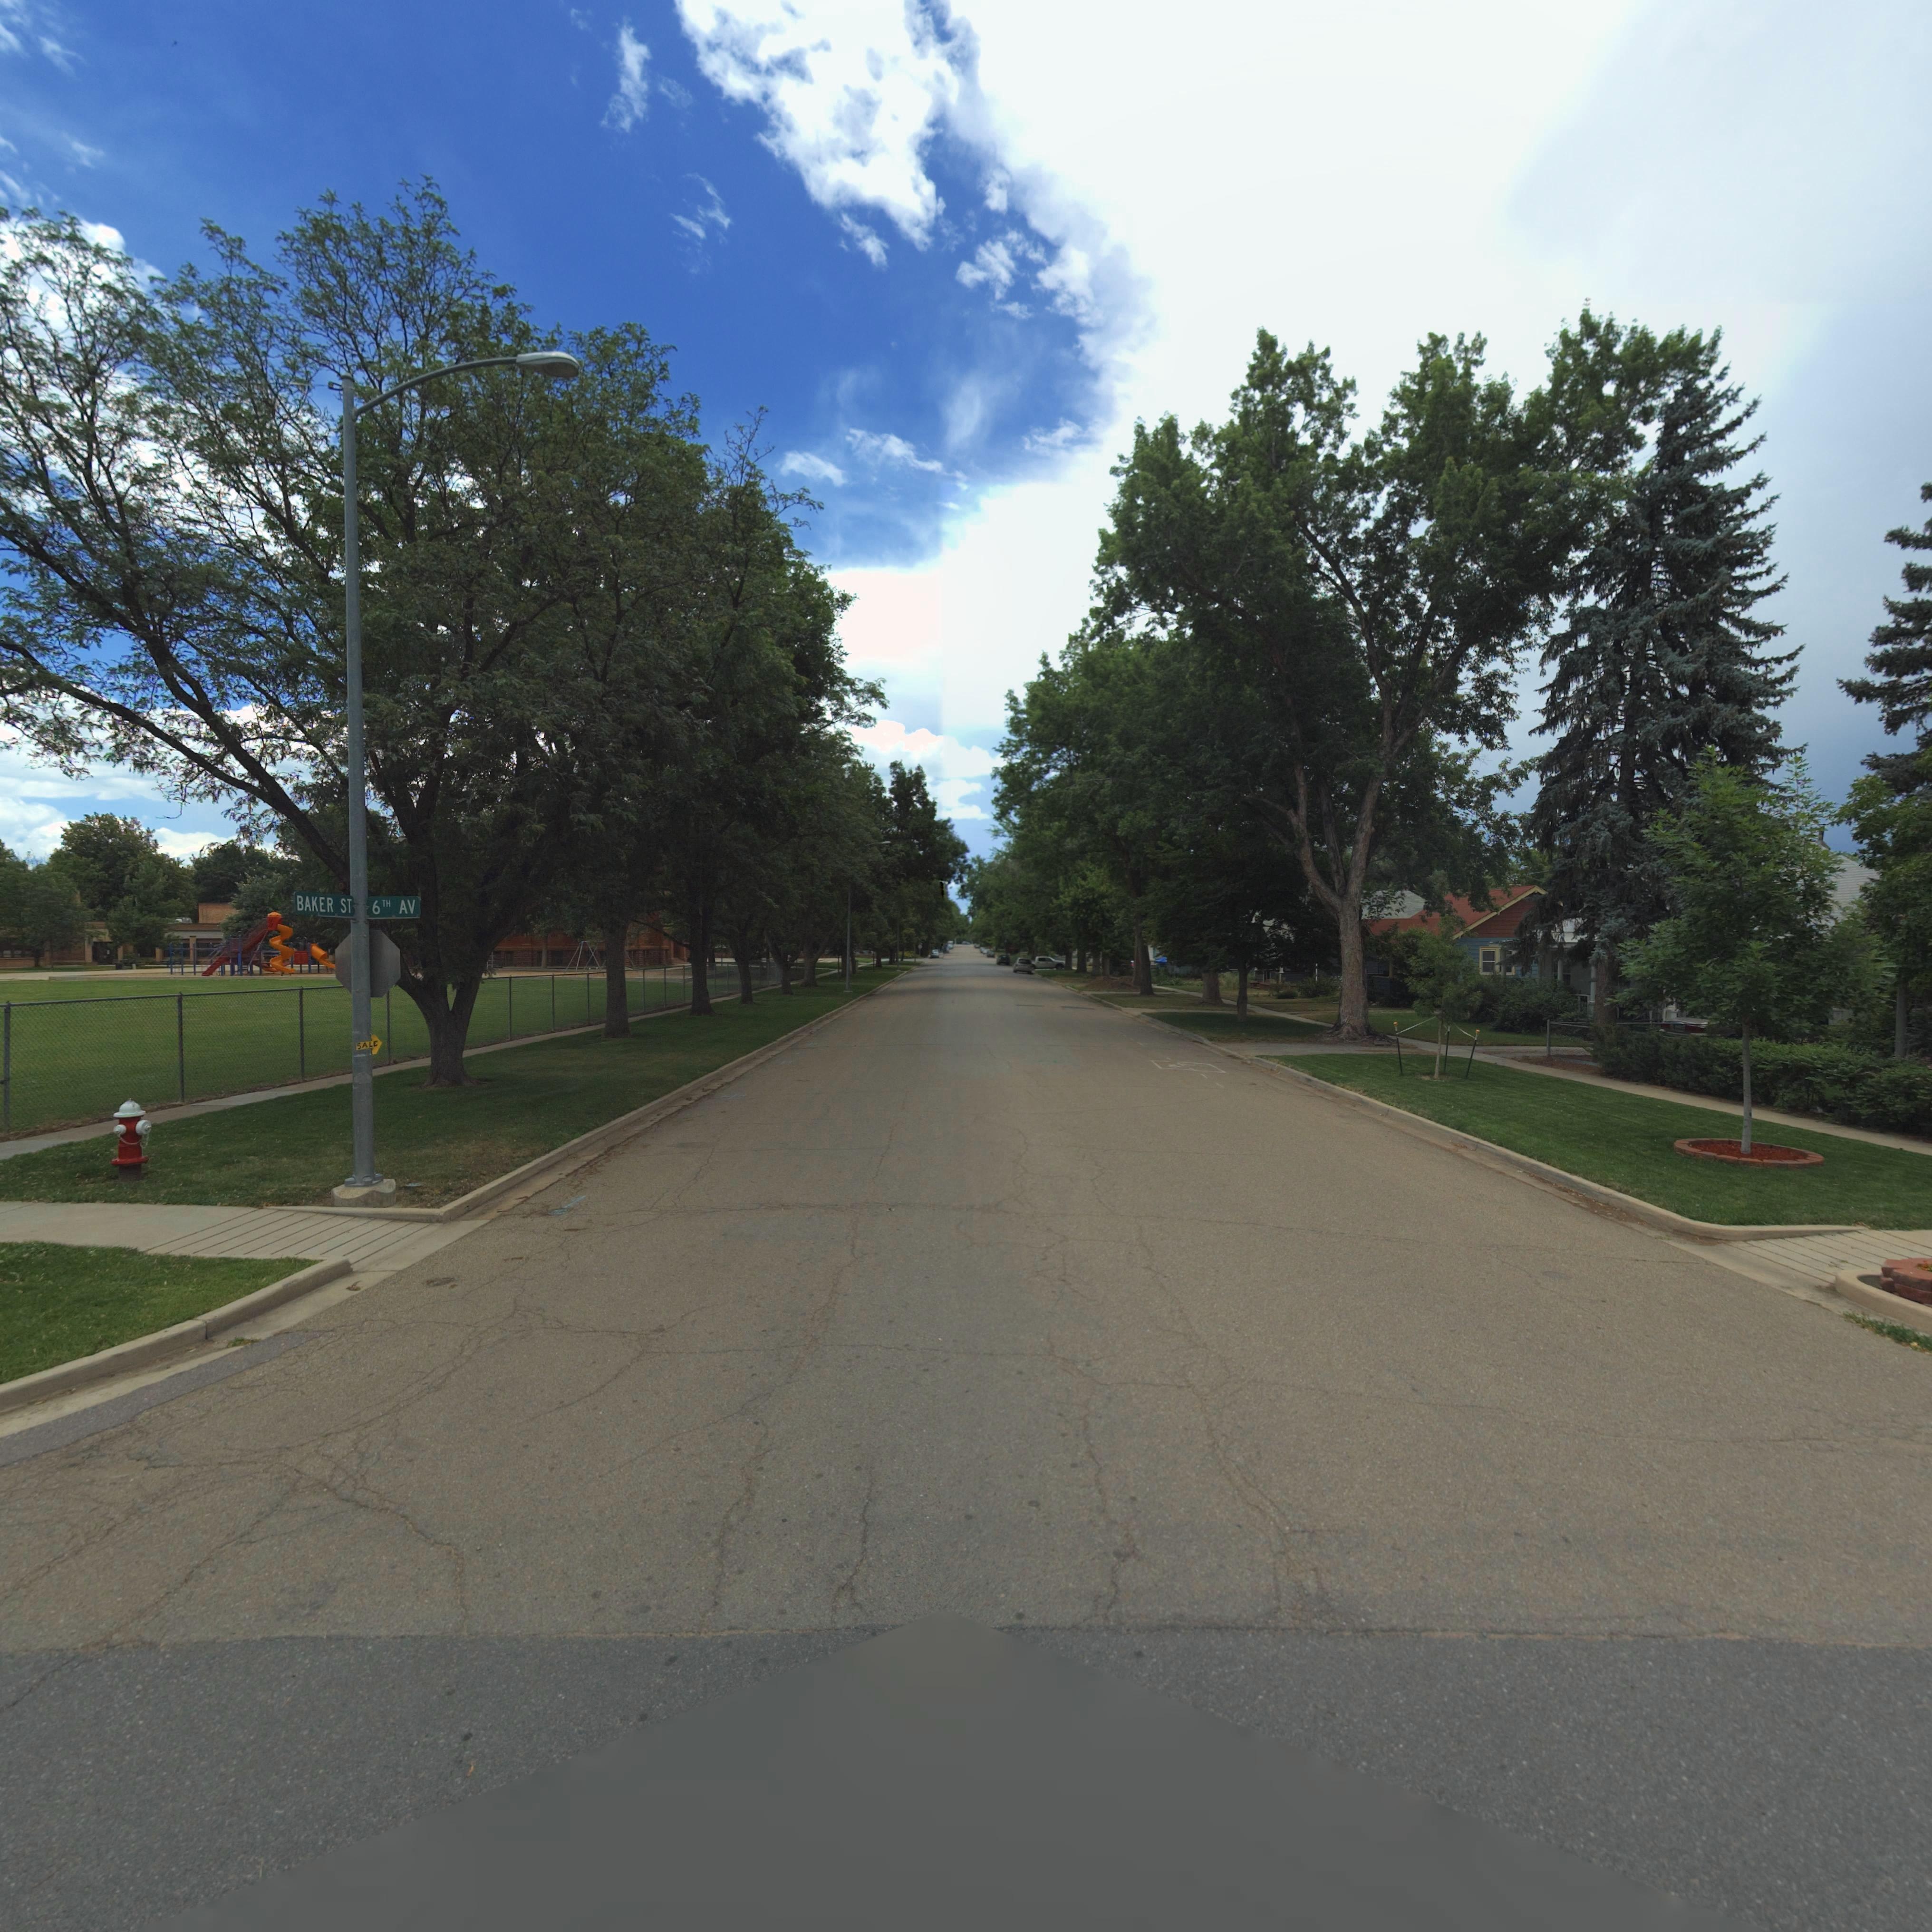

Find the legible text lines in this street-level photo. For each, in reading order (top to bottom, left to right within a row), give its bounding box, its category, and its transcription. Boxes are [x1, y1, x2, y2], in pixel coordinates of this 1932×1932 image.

[296, 895, 353, 913] StreetName: BAKER ST
[371, 899, 416, 915] StreetName: 6TH AV